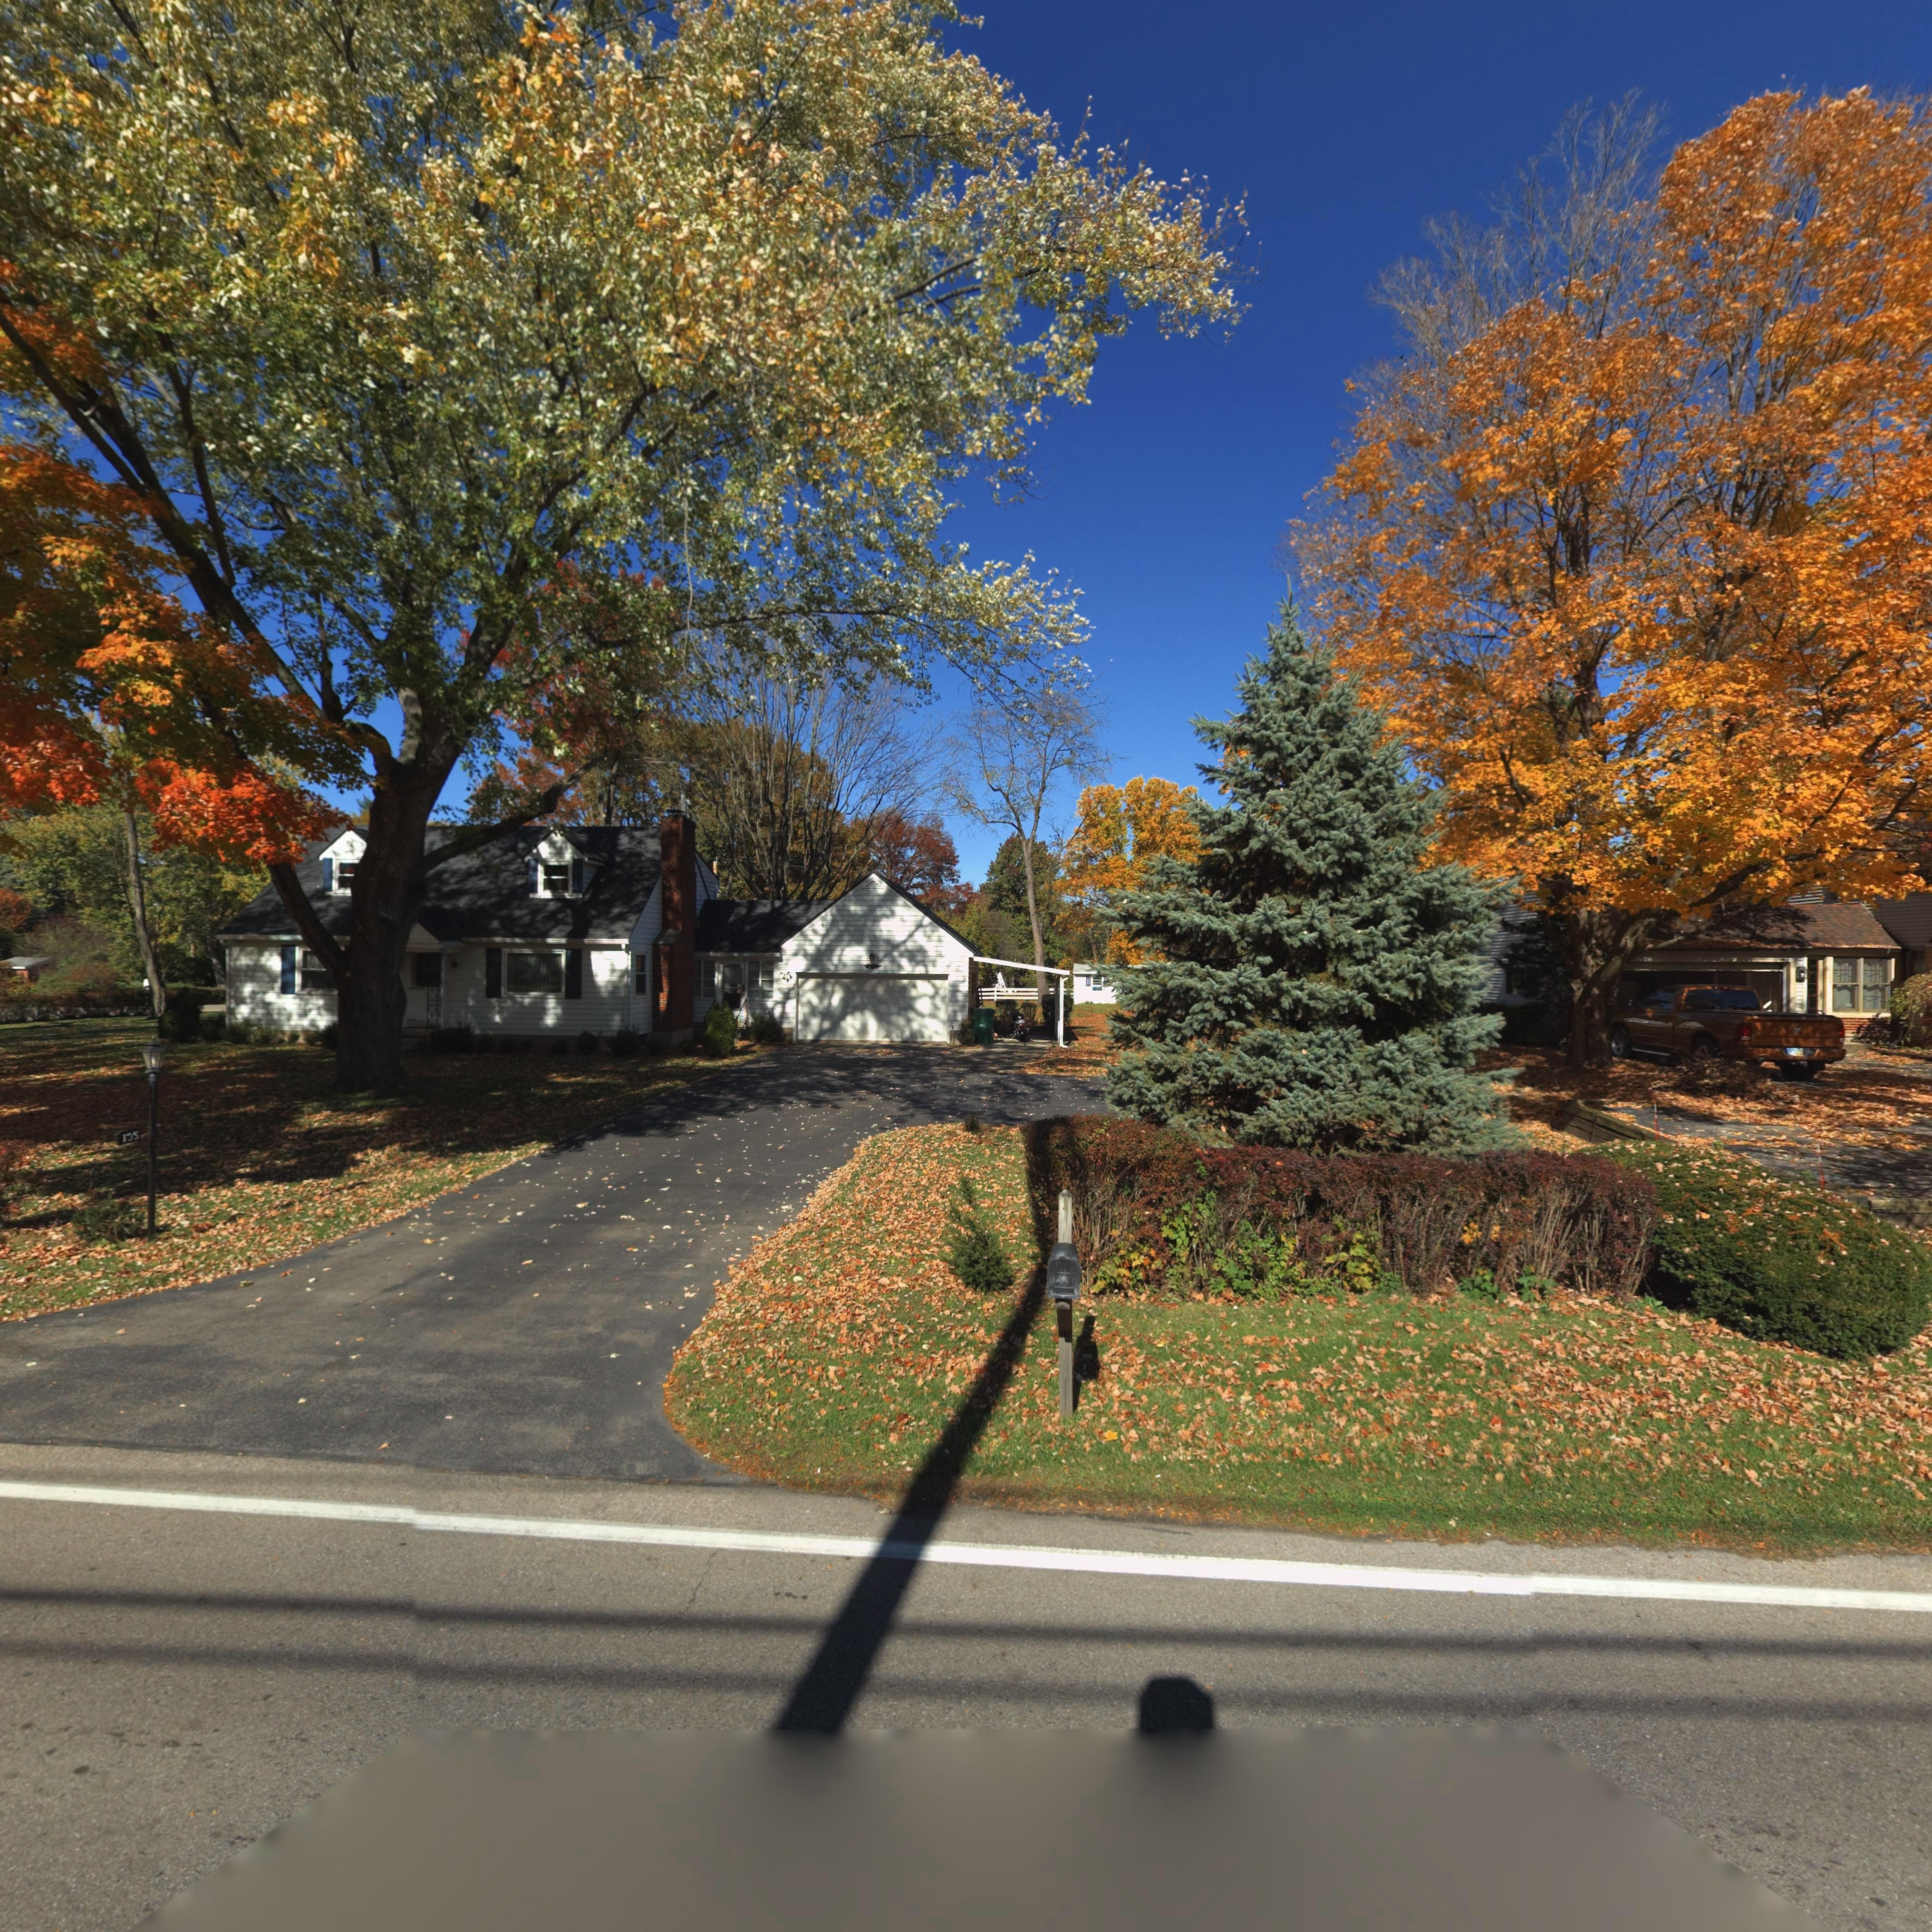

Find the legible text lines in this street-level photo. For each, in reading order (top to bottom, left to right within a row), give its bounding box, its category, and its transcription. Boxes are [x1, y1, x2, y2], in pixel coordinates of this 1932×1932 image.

[122, 1129, 140, 1144] StreetNumber: 135